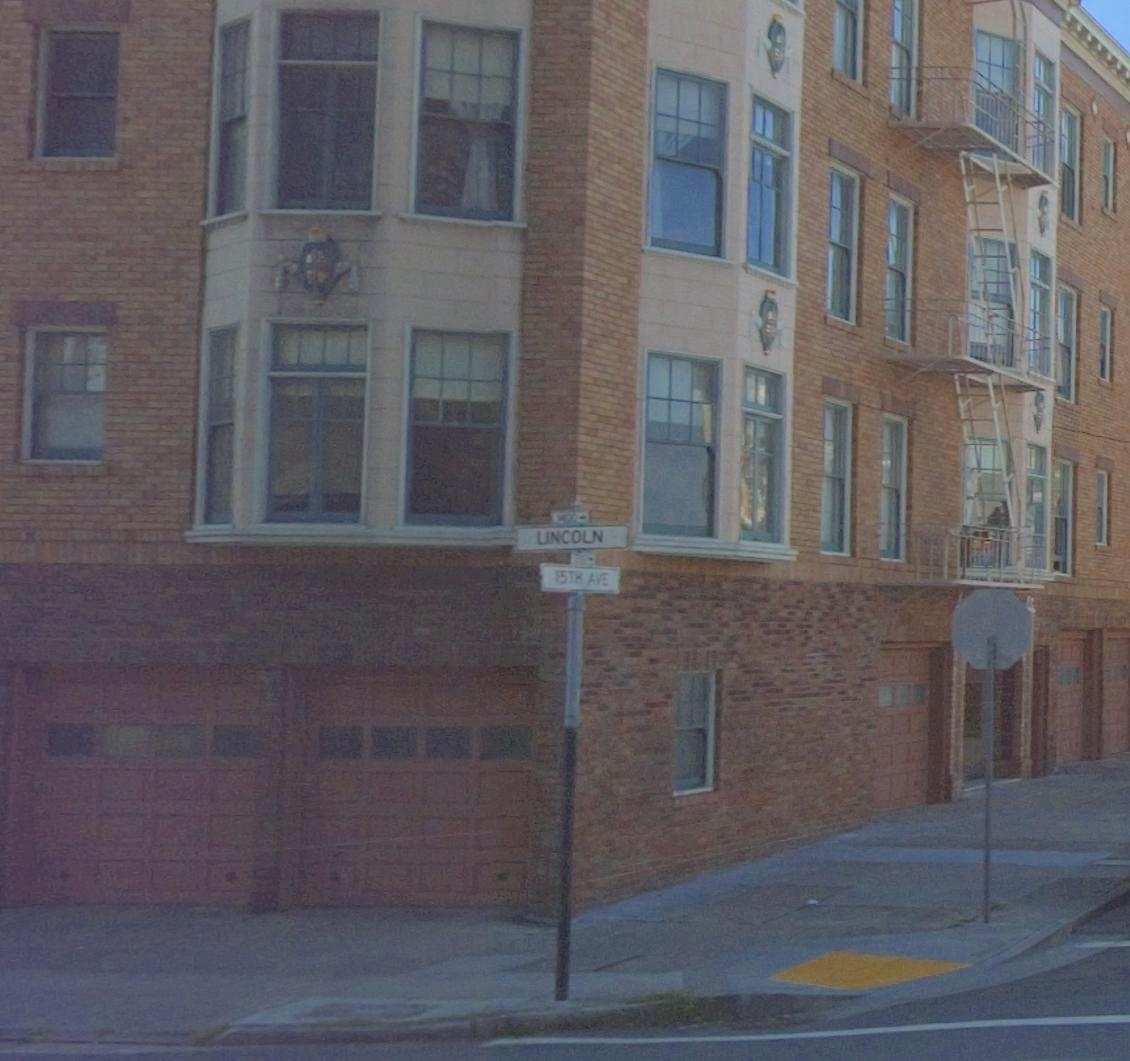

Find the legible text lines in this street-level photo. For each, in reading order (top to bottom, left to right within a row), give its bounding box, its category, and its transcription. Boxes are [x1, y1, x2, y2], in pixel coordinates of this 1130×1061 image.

[555, 511, 588, 525] StreetNumberRange: 1400->
[535, 528, 605, 546] StreetName: LINCOLN
[554, 566, 610, 588] StreetName: 15TH AVE